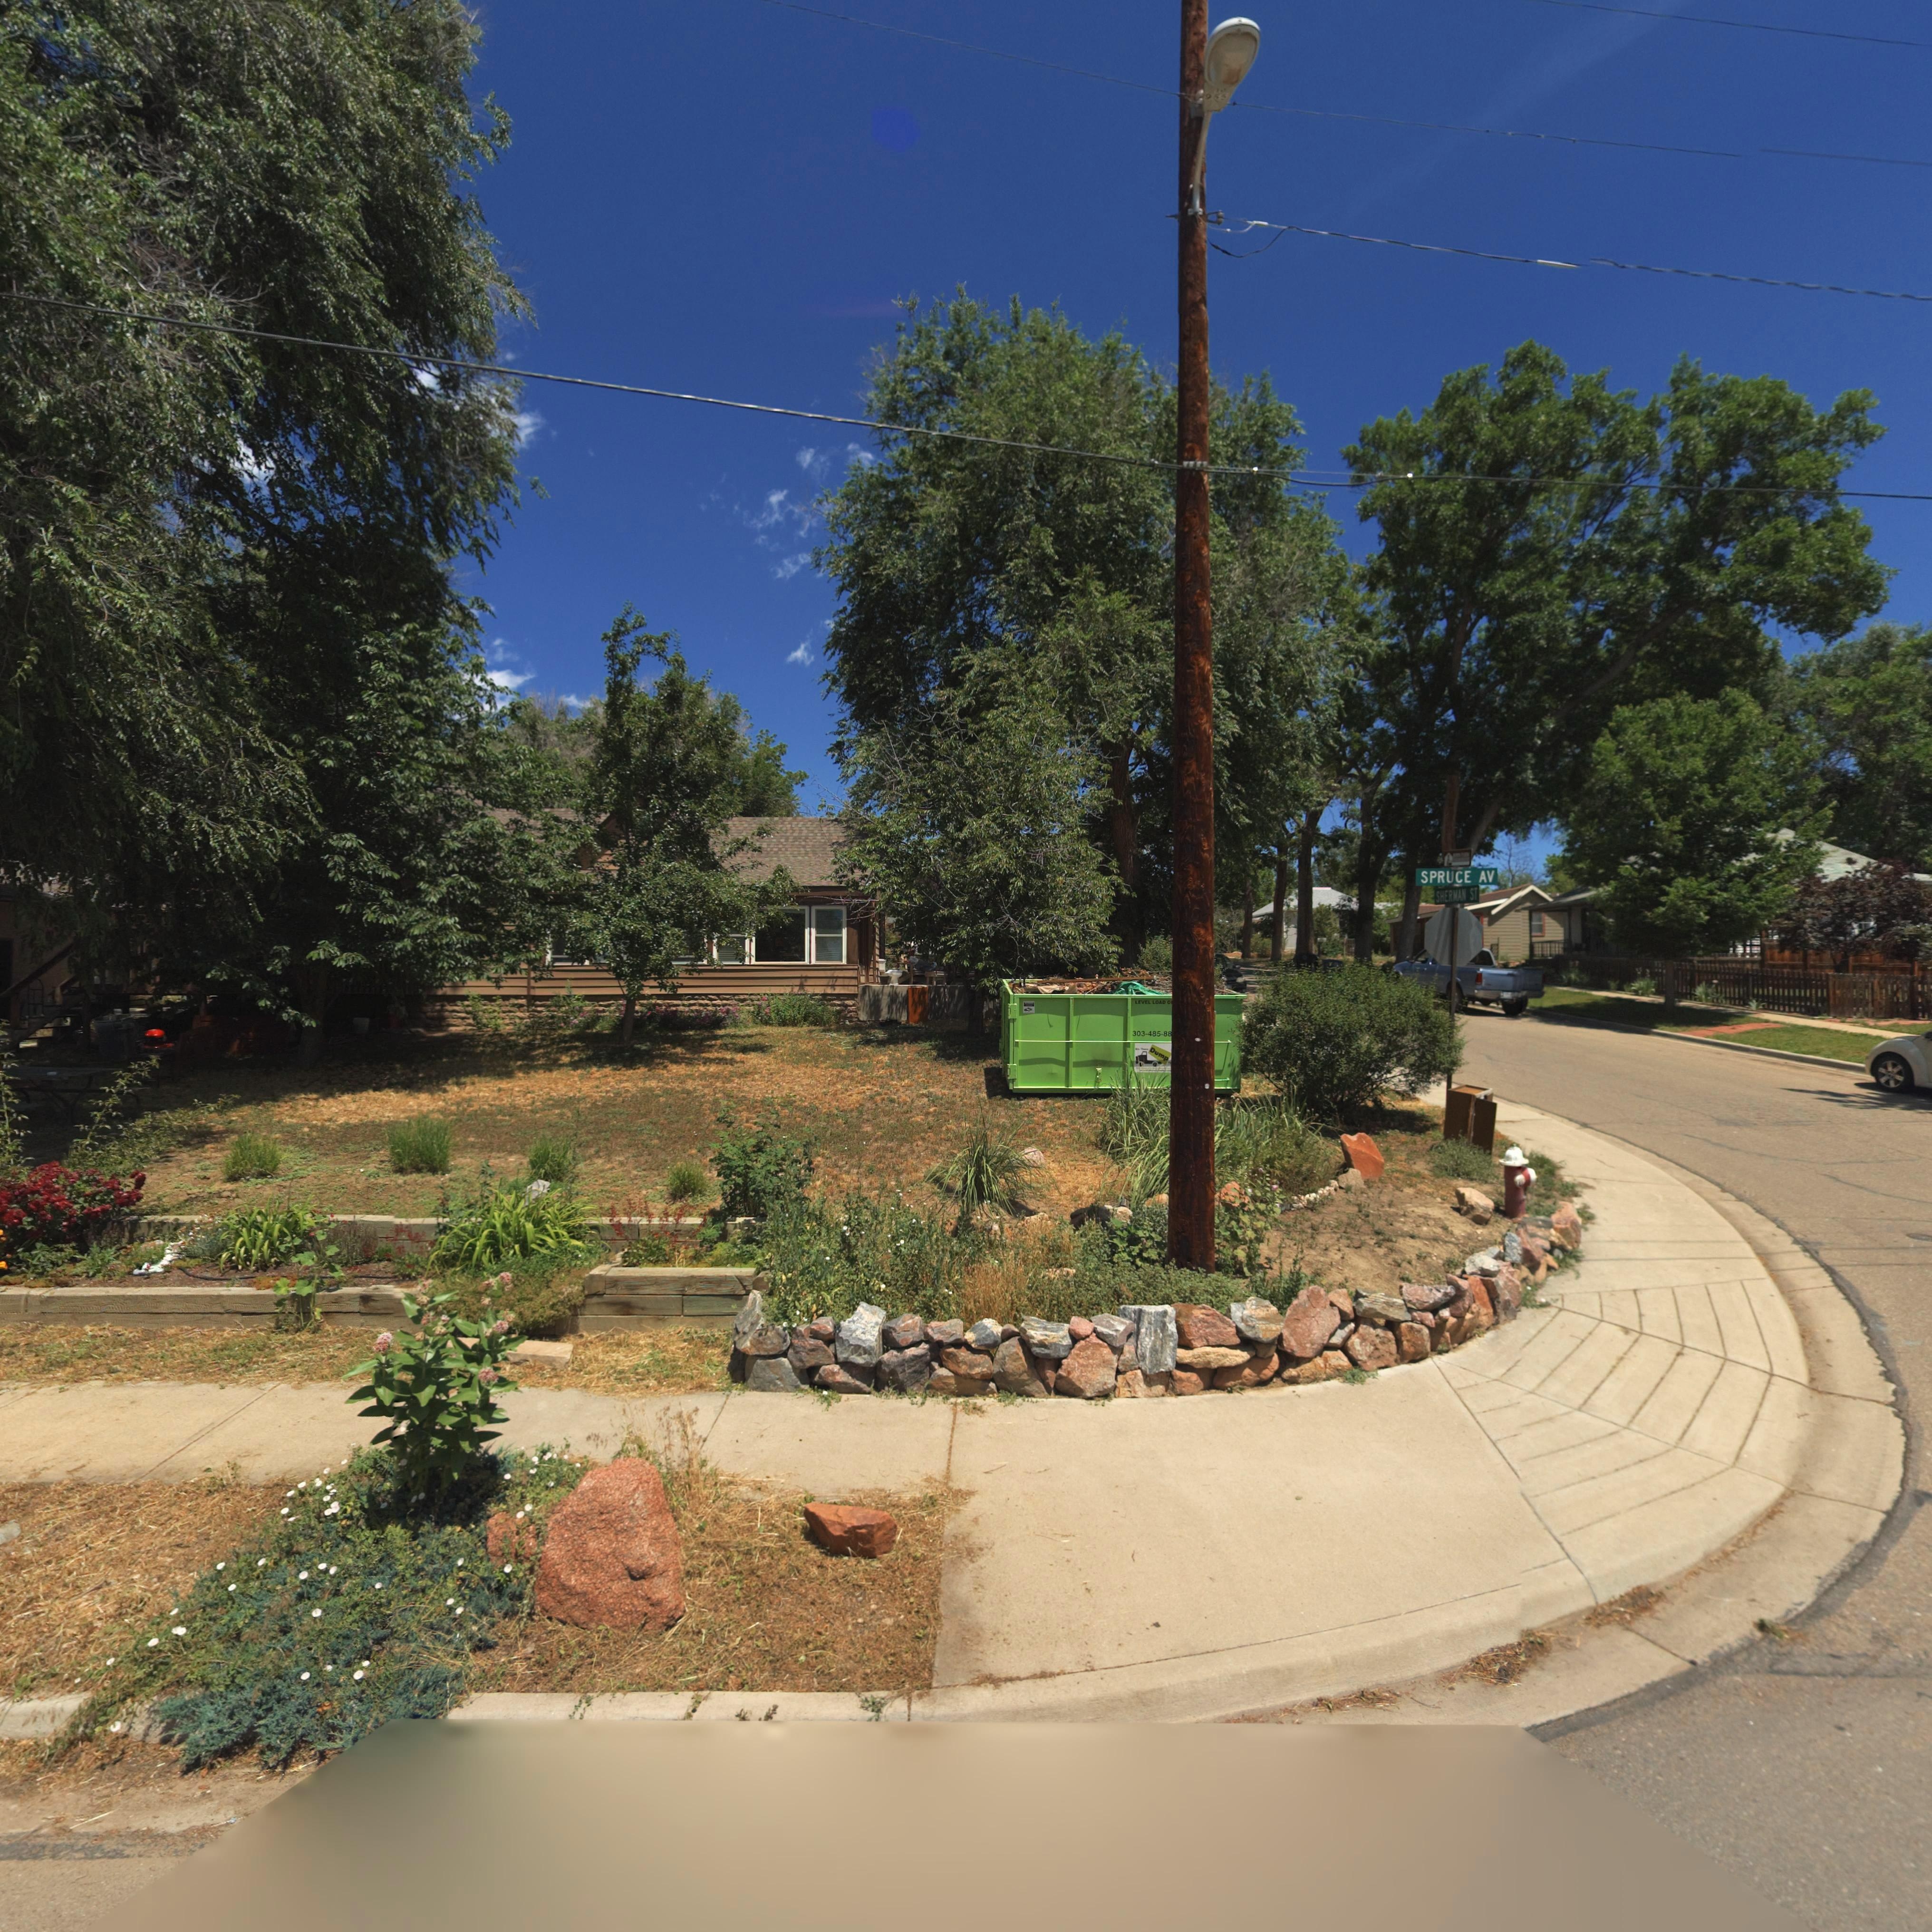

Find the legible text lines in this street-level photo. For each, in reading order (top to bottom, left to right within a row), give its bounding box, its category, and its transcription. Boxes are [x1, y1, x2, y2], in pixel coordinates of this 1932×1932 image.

[1421, 870, 1494, 883] StreetName: SPRUCE AV
[1435, 887, 1478, 903] StreetName: SPRUCE AV